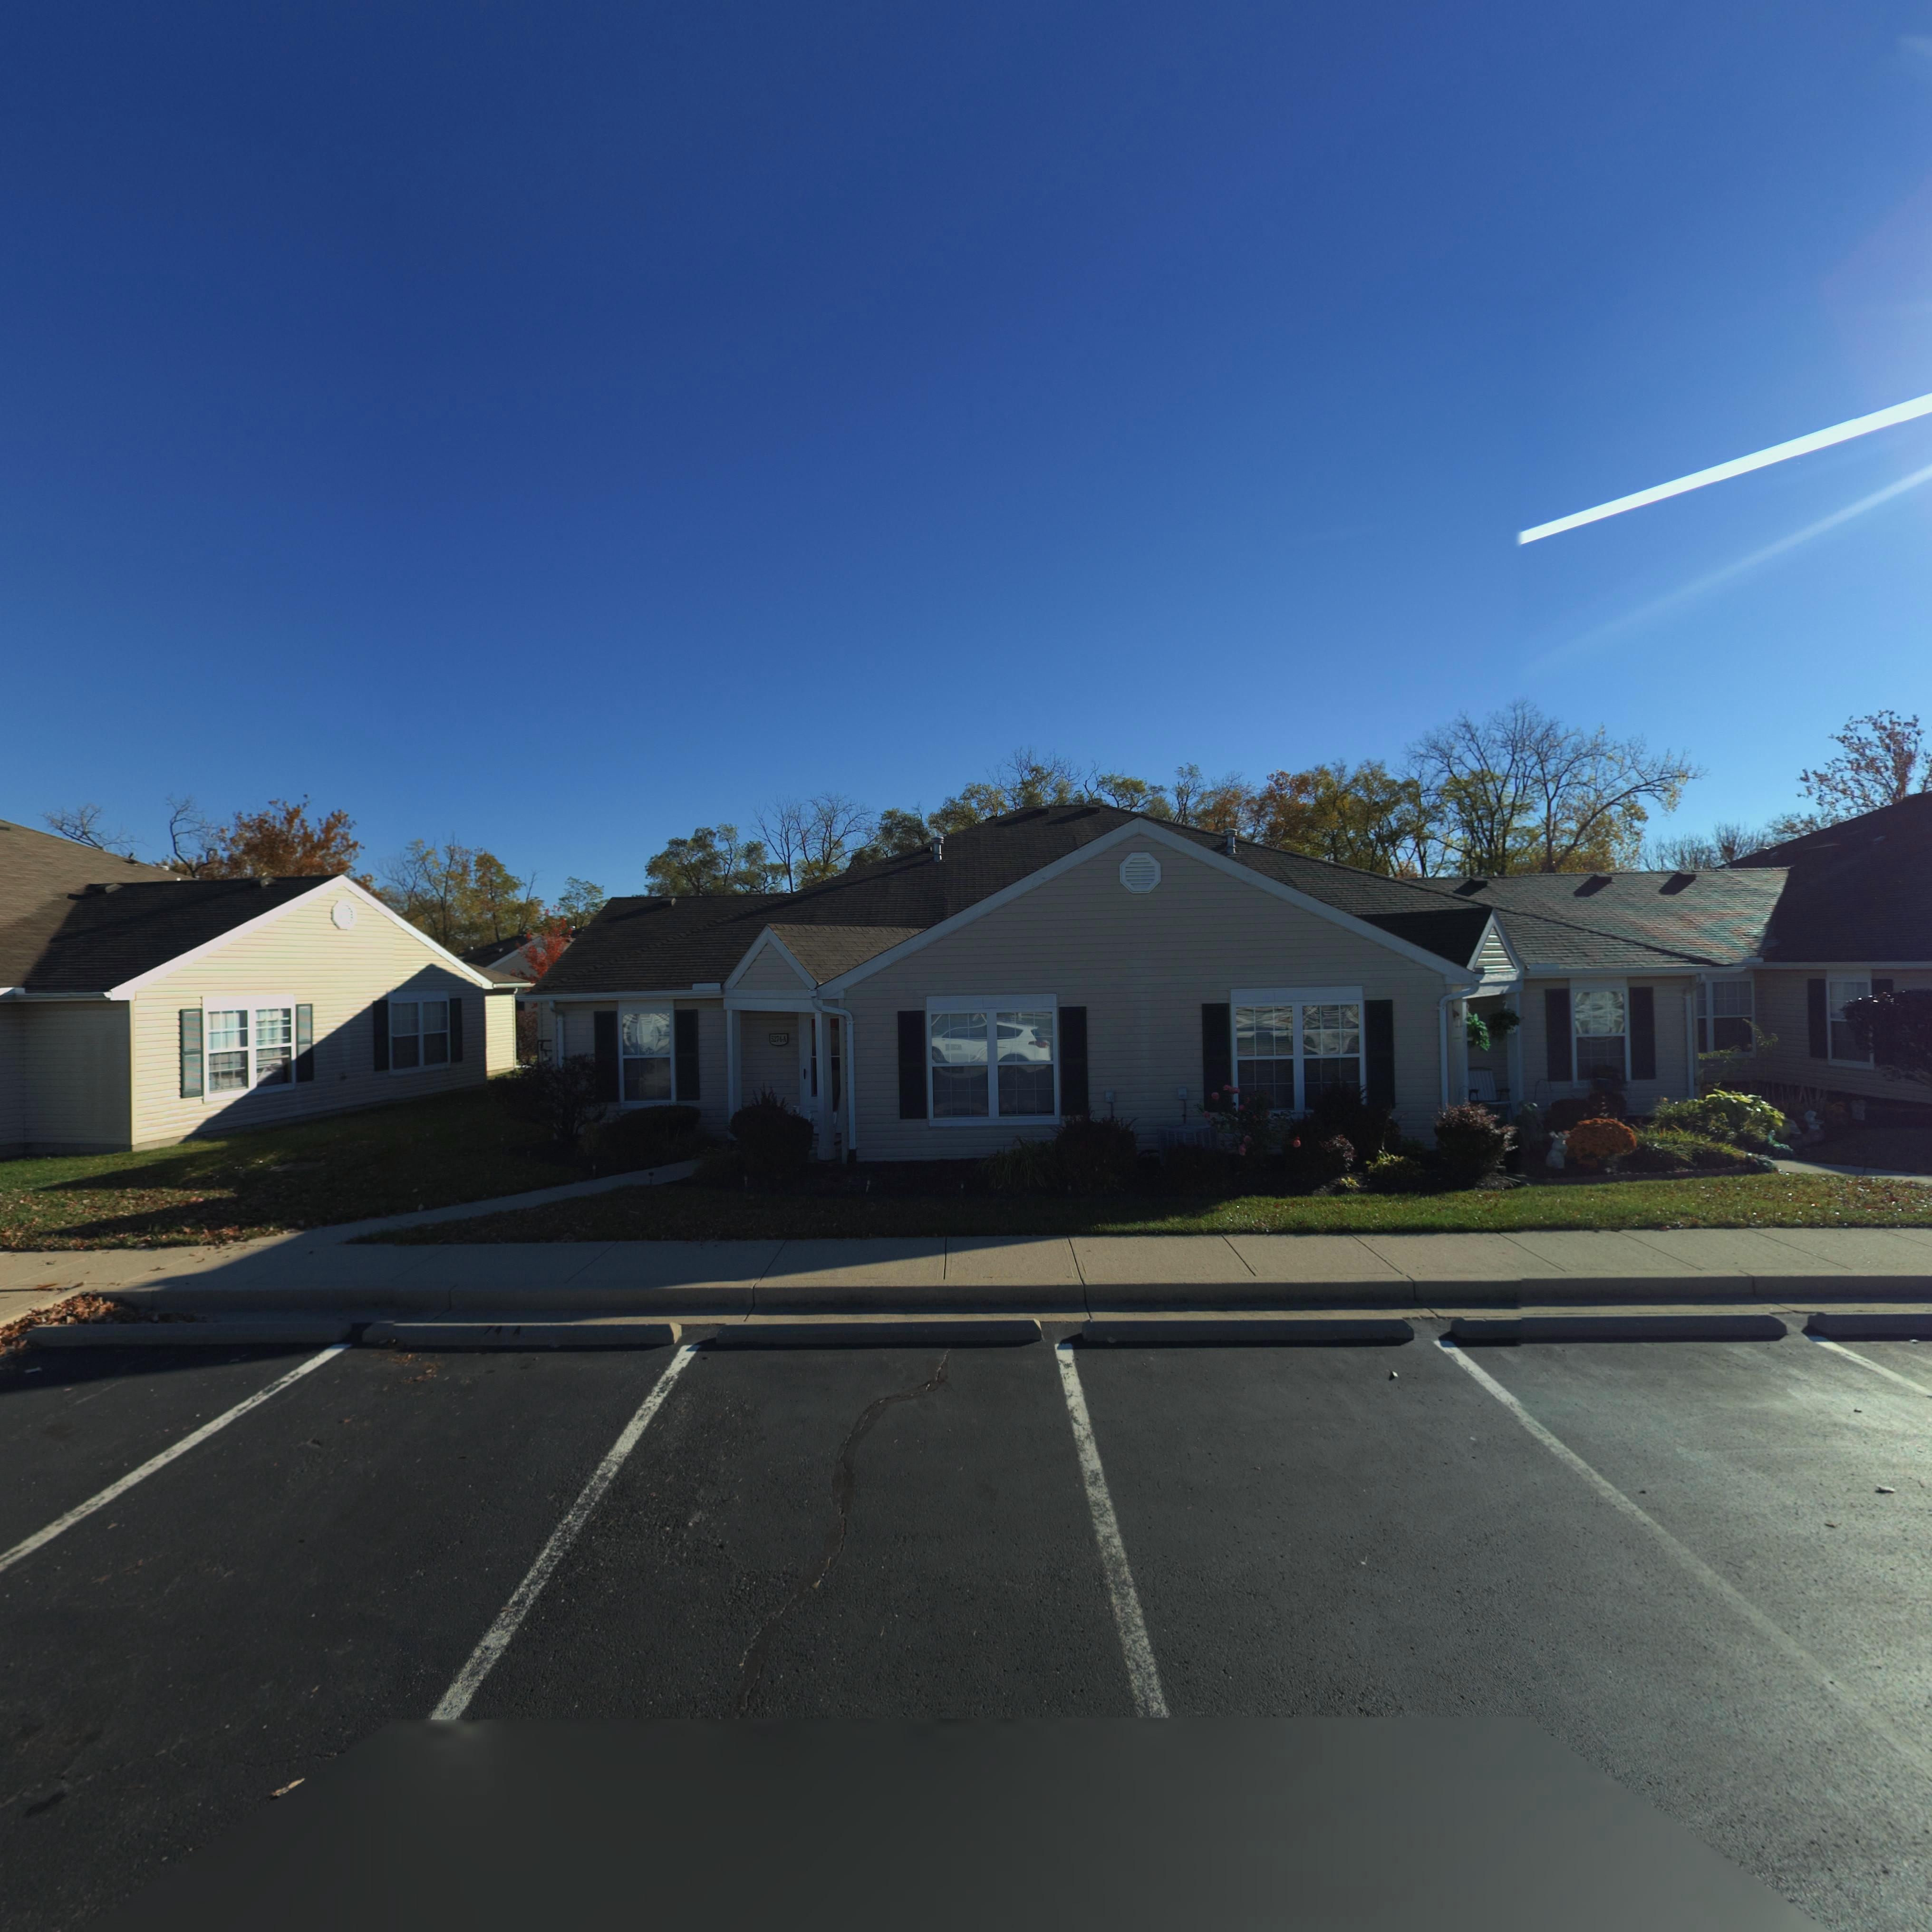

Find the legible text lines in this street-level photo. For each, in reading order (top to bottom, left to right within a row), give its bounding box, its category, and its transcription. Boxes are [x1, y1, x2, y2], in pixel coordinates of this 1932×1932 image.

[770, 1035, 787, 1042] StreetNumber: 5274-A